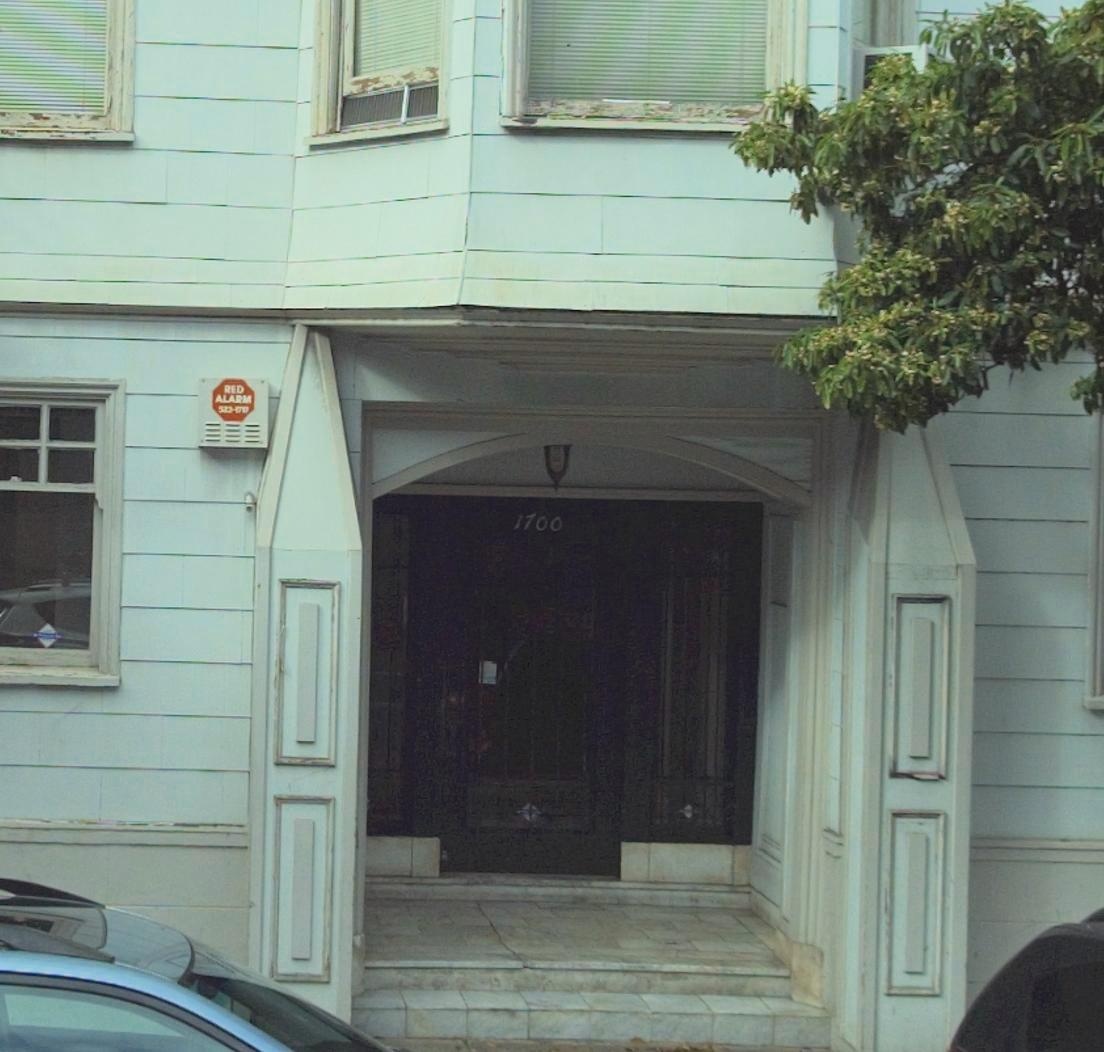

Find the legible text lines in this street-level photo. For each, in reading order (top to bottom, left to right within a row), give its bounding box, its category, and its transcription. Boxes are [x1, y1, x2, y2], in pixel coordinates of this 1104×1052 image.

[222, 382, 246, 395] None: RED
[213, 392, 254, 405] None: ALARM
[510, 511, 564, 534] StreetNumber: 1700